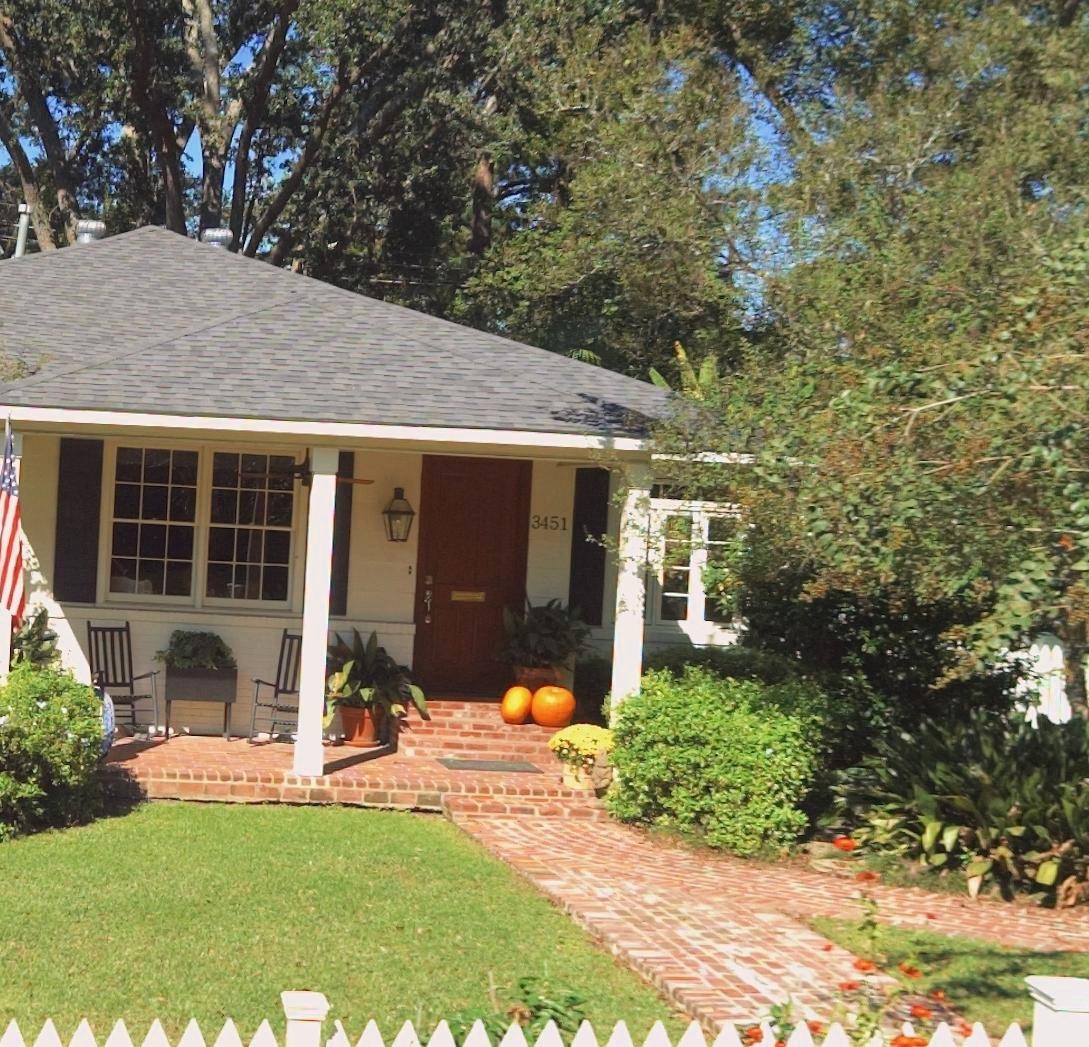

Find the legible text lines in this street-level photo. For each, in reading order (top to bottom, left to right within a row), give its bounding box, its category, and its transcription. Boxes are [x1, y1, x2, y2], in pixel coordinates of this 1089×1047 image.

[529, 512, 569, 533] StreetNumber: 3451